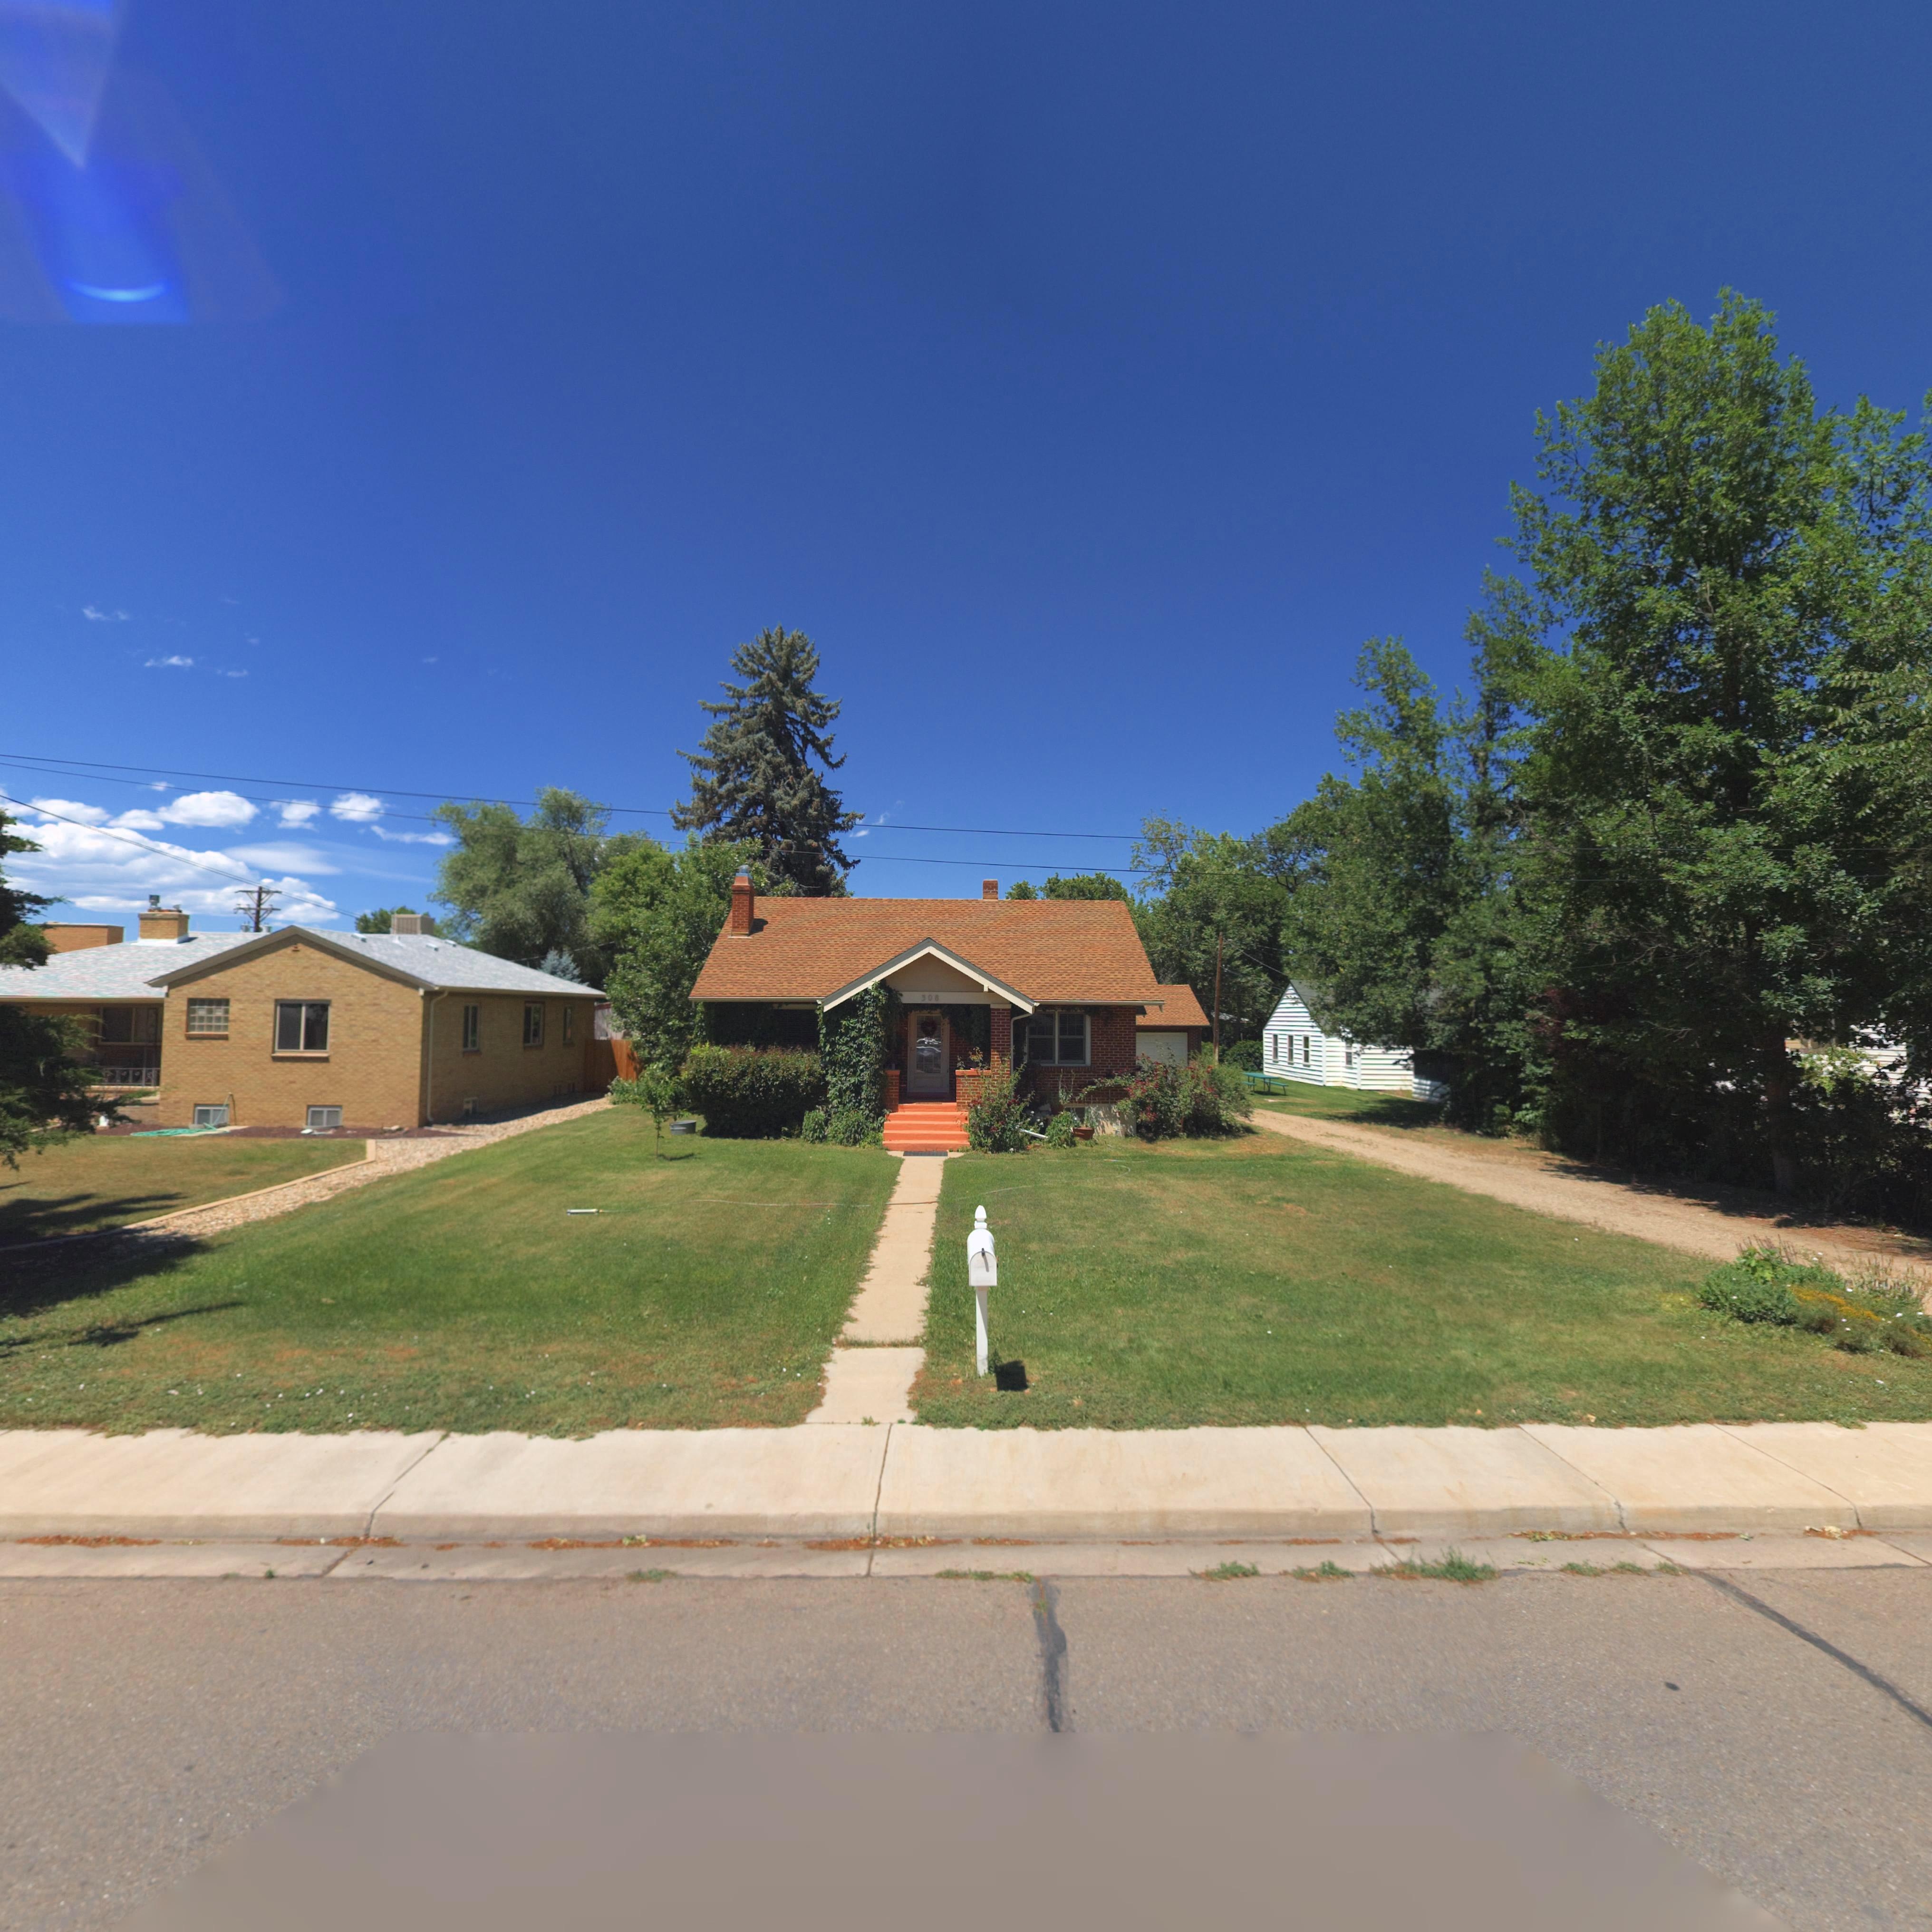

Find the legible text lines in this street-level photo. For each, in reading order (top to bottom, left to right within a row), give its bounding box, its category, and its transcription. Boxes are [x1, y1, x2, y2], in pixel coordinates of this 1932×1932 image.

[921, 995, 938, 1001] StreetNumber: 308